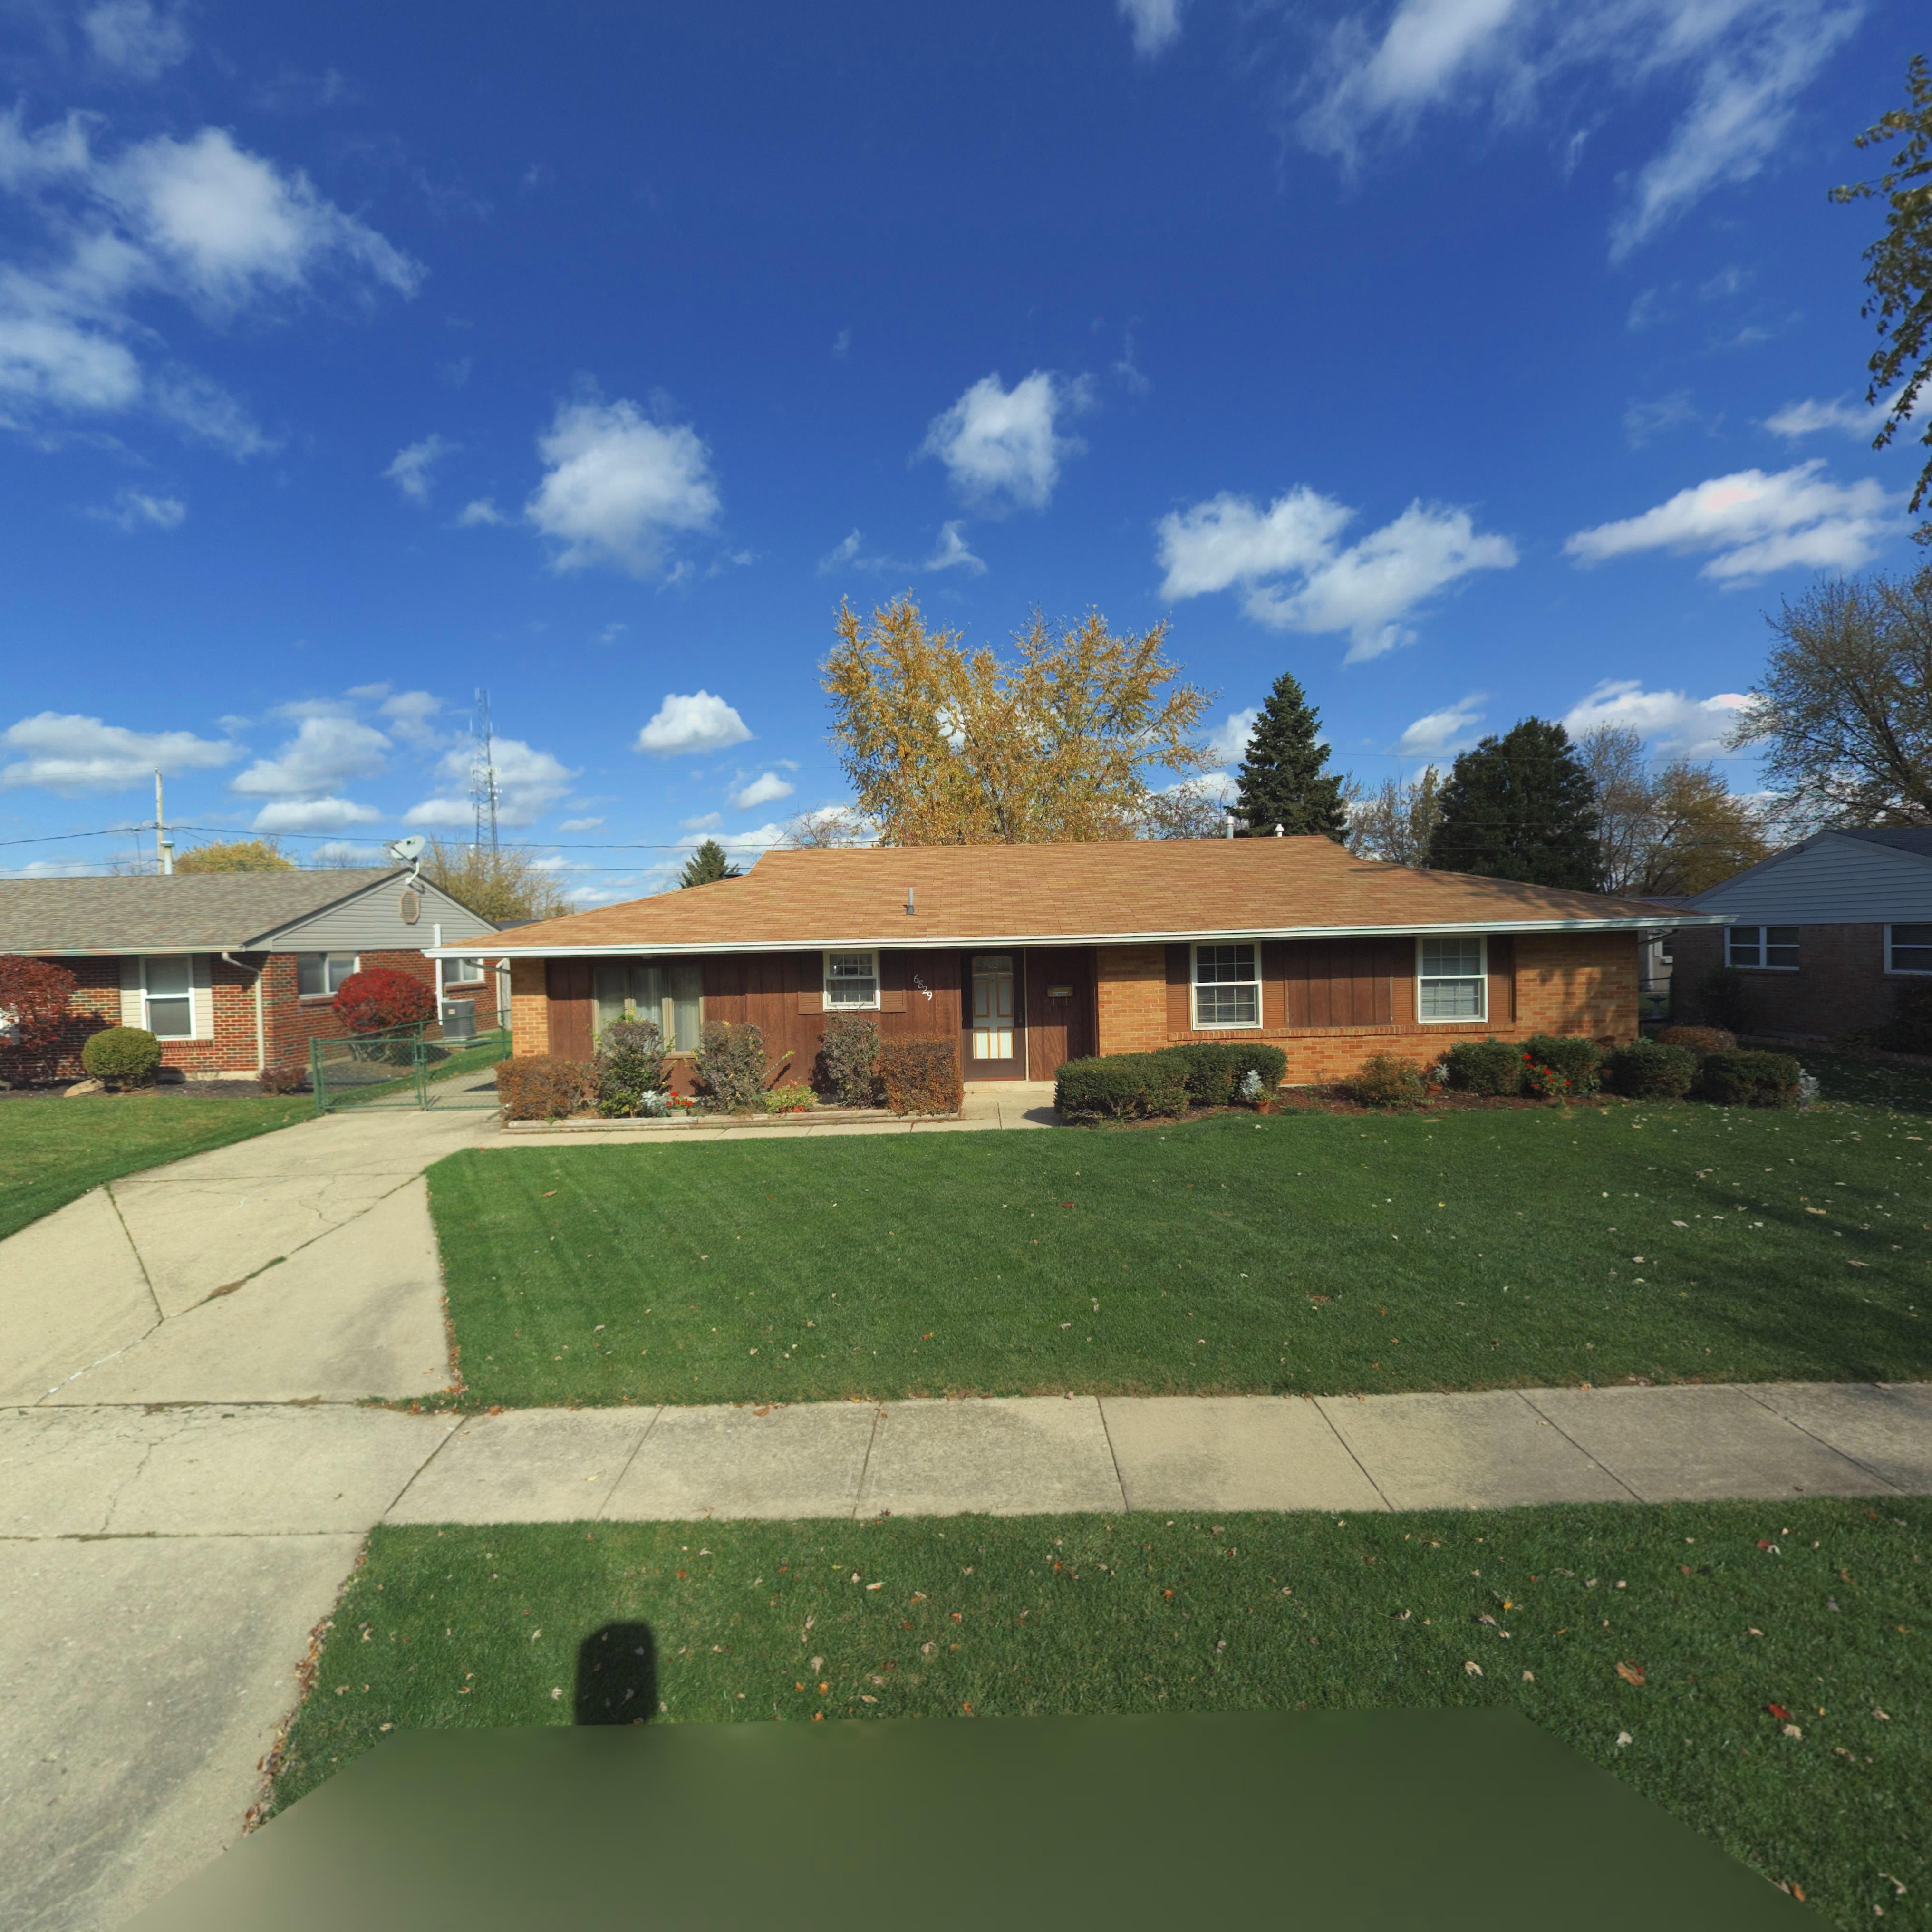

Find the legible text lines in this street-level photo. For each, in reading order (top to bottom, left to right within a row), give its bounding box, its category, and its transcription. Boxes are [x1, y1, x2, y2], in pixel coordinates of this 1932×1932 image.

[913, 973, 933, 1001] StreetNumber: 6829